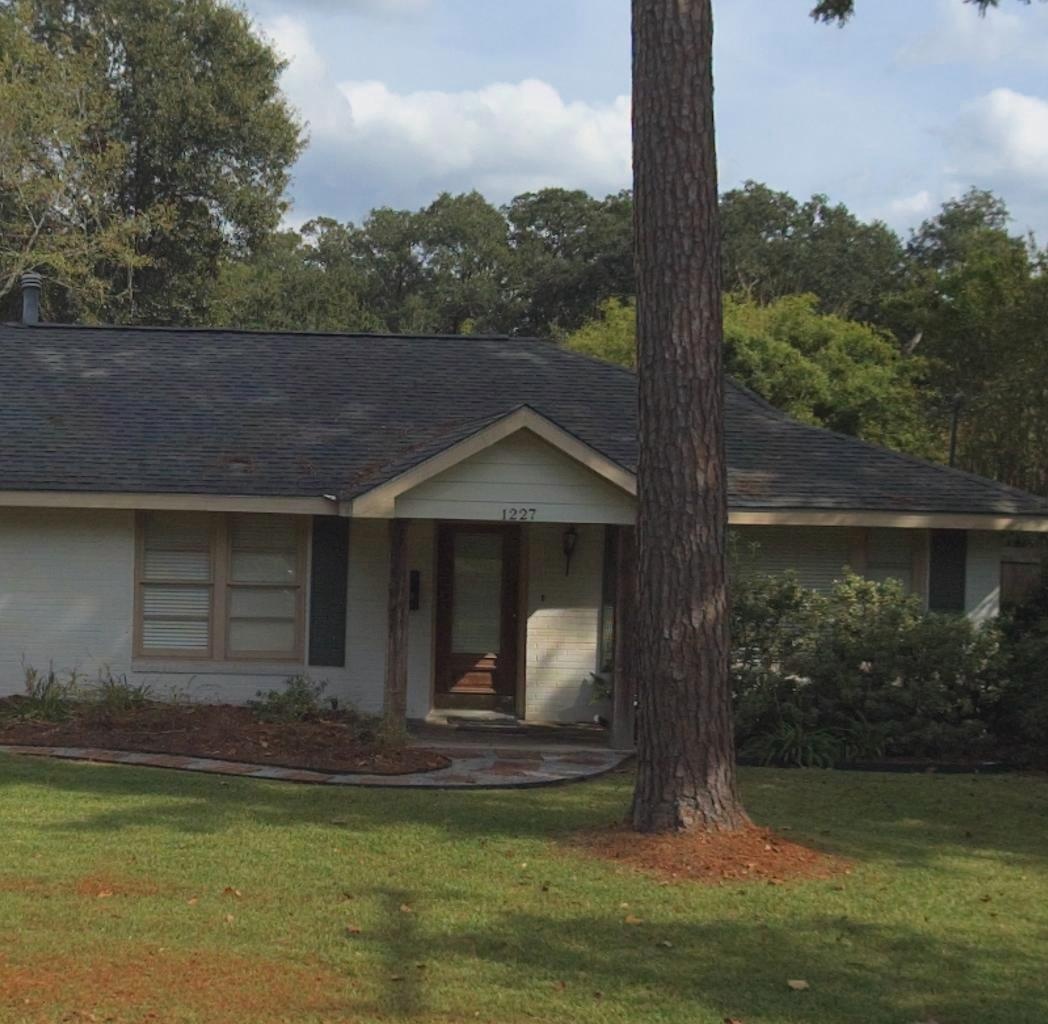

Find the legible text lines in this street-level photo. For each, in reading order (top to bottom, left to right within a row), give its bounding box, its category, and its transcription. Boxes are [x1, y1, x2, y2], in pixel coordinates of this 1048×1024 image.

[500, 506, 538, 524] StreetNumber: 1227